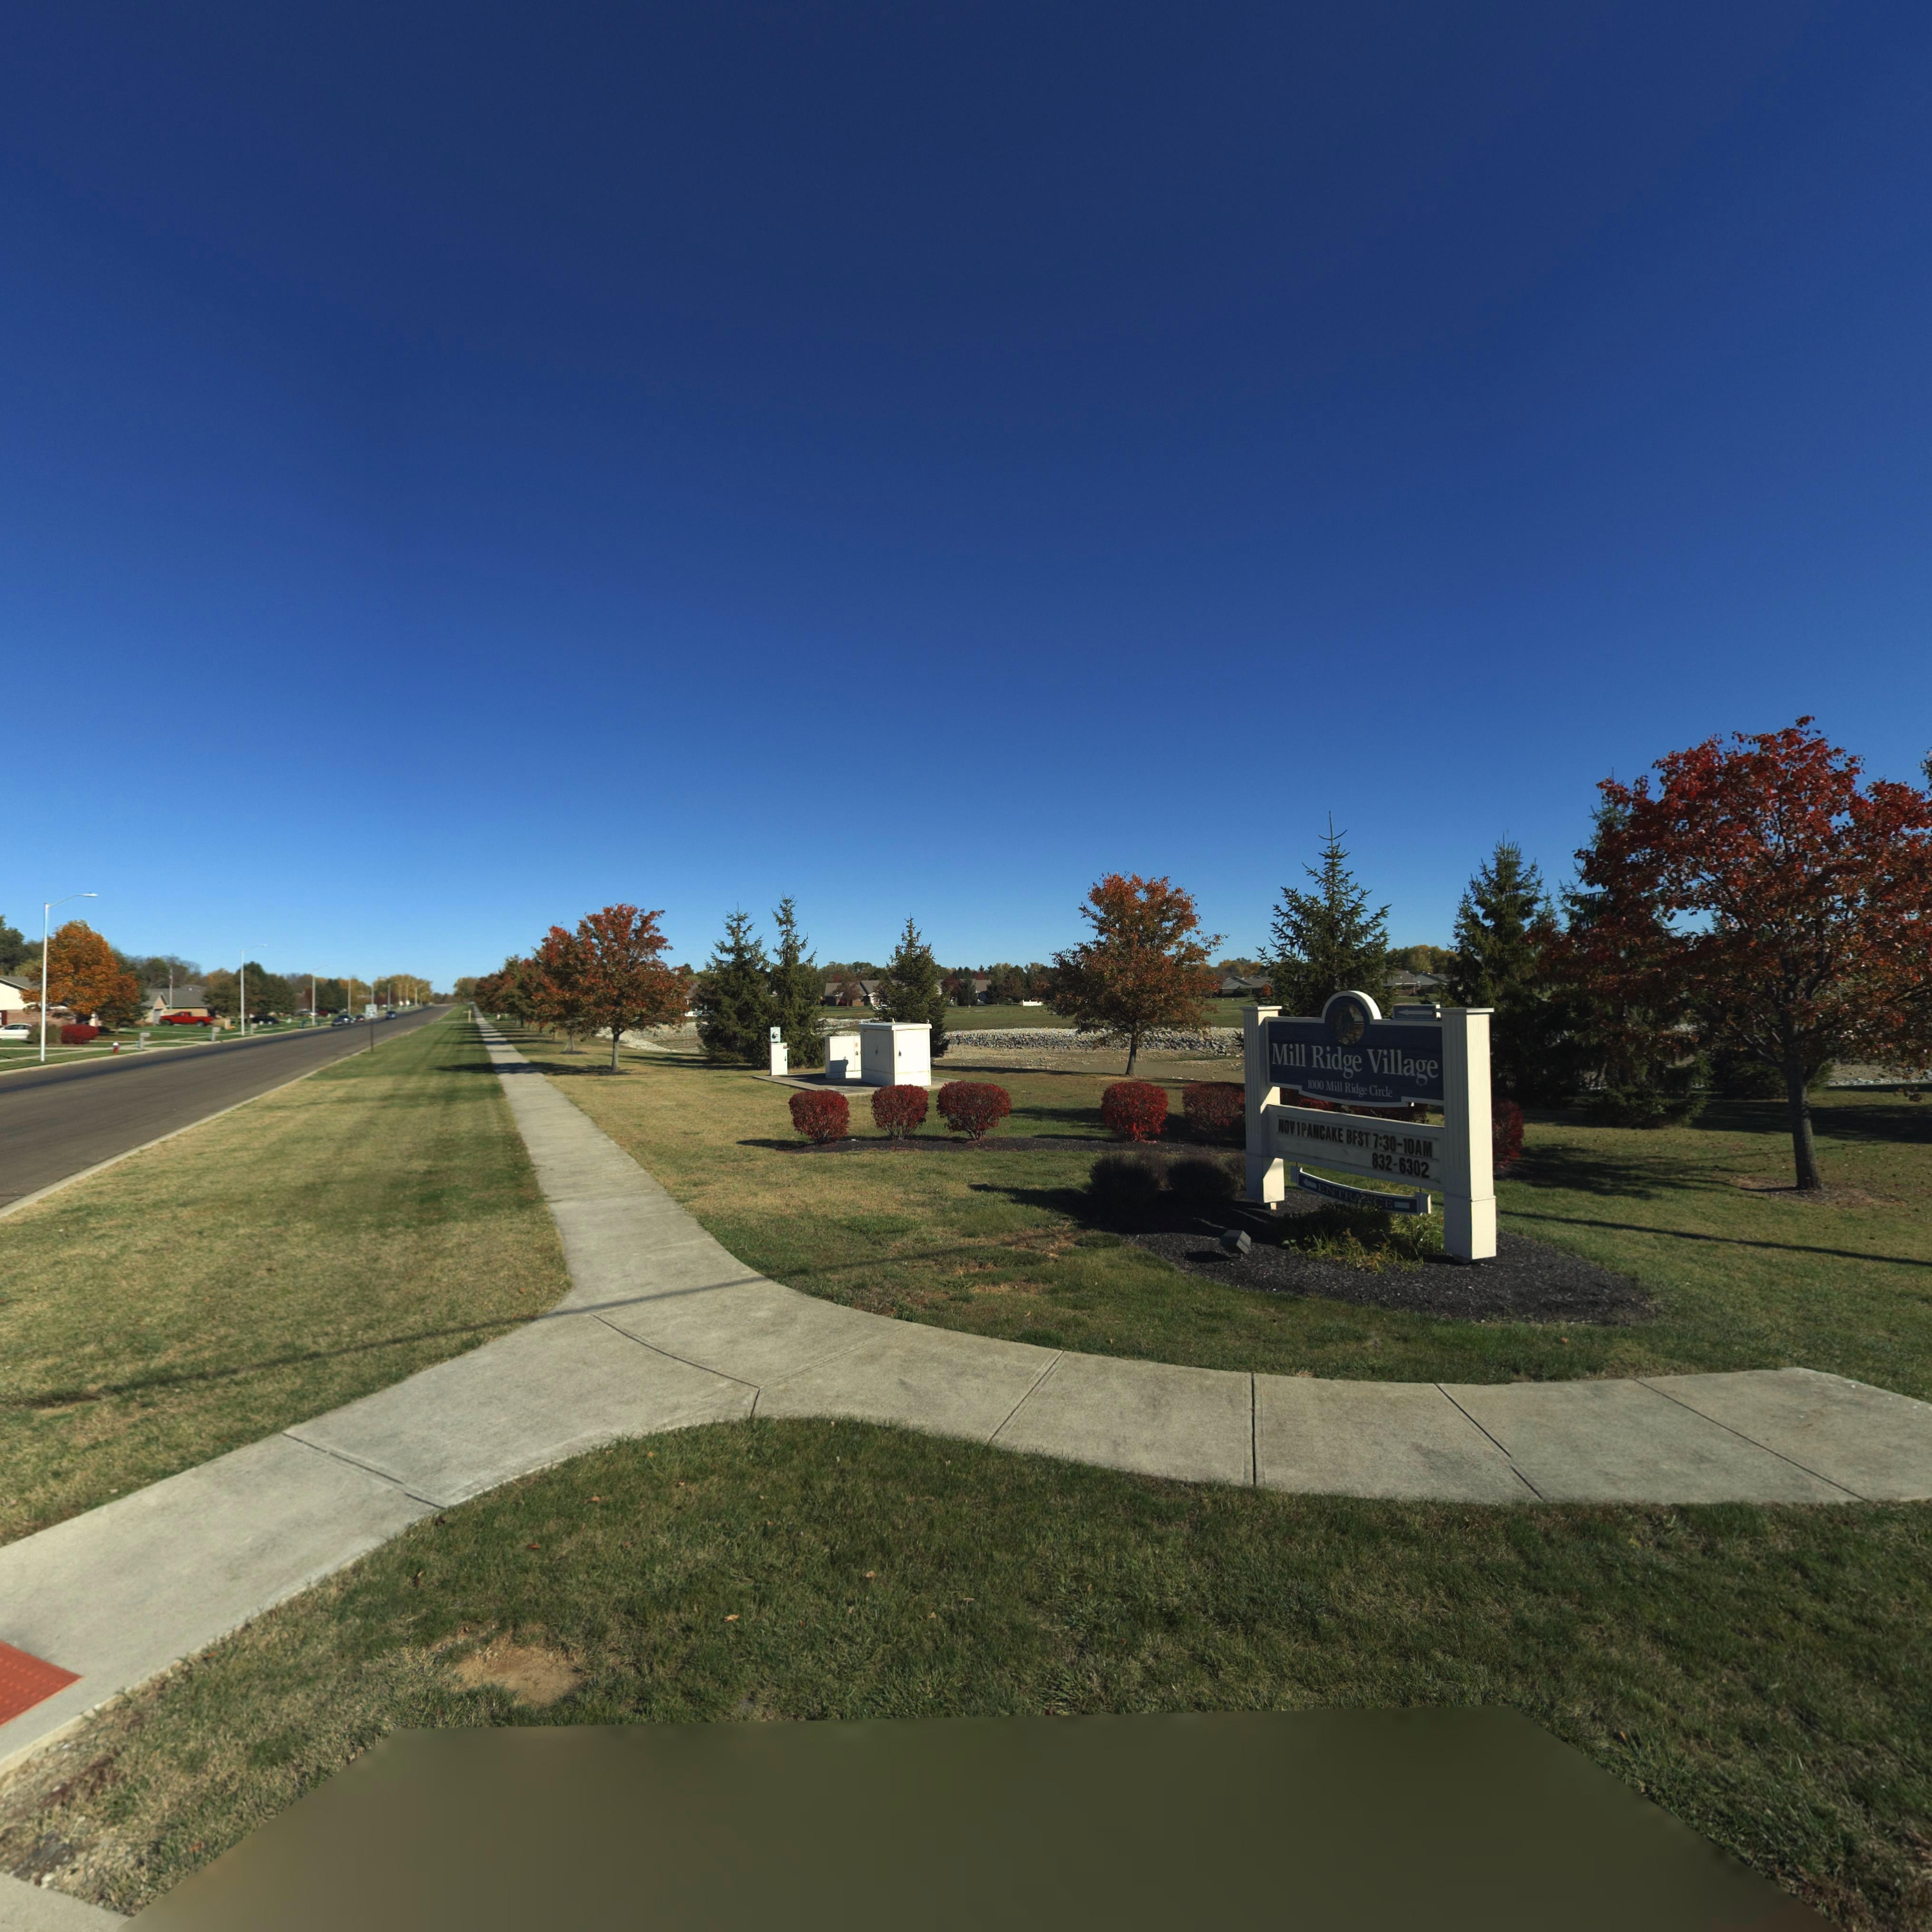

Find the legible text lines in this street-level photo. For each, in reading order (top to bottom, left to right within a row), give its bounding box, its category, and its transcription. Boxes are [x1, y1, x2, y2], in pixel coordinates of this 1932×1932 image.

[1270, 1040, 1441, 1090] BusinessName: Mill Ridge Village
[1306, 1079, 1324, 1090] StreetNumber: 1000
[1324, 1079, 1393, 1100] None: Mill Ridge Circle
[1277, 1117, 1435, 1161] None: NOV1PANCAKE BFST 7:30-10AM
[1371, 1151, 1432, 1181] None: 832-6302
[1318, 1182, 1394, 1210] None: ENTR**CE